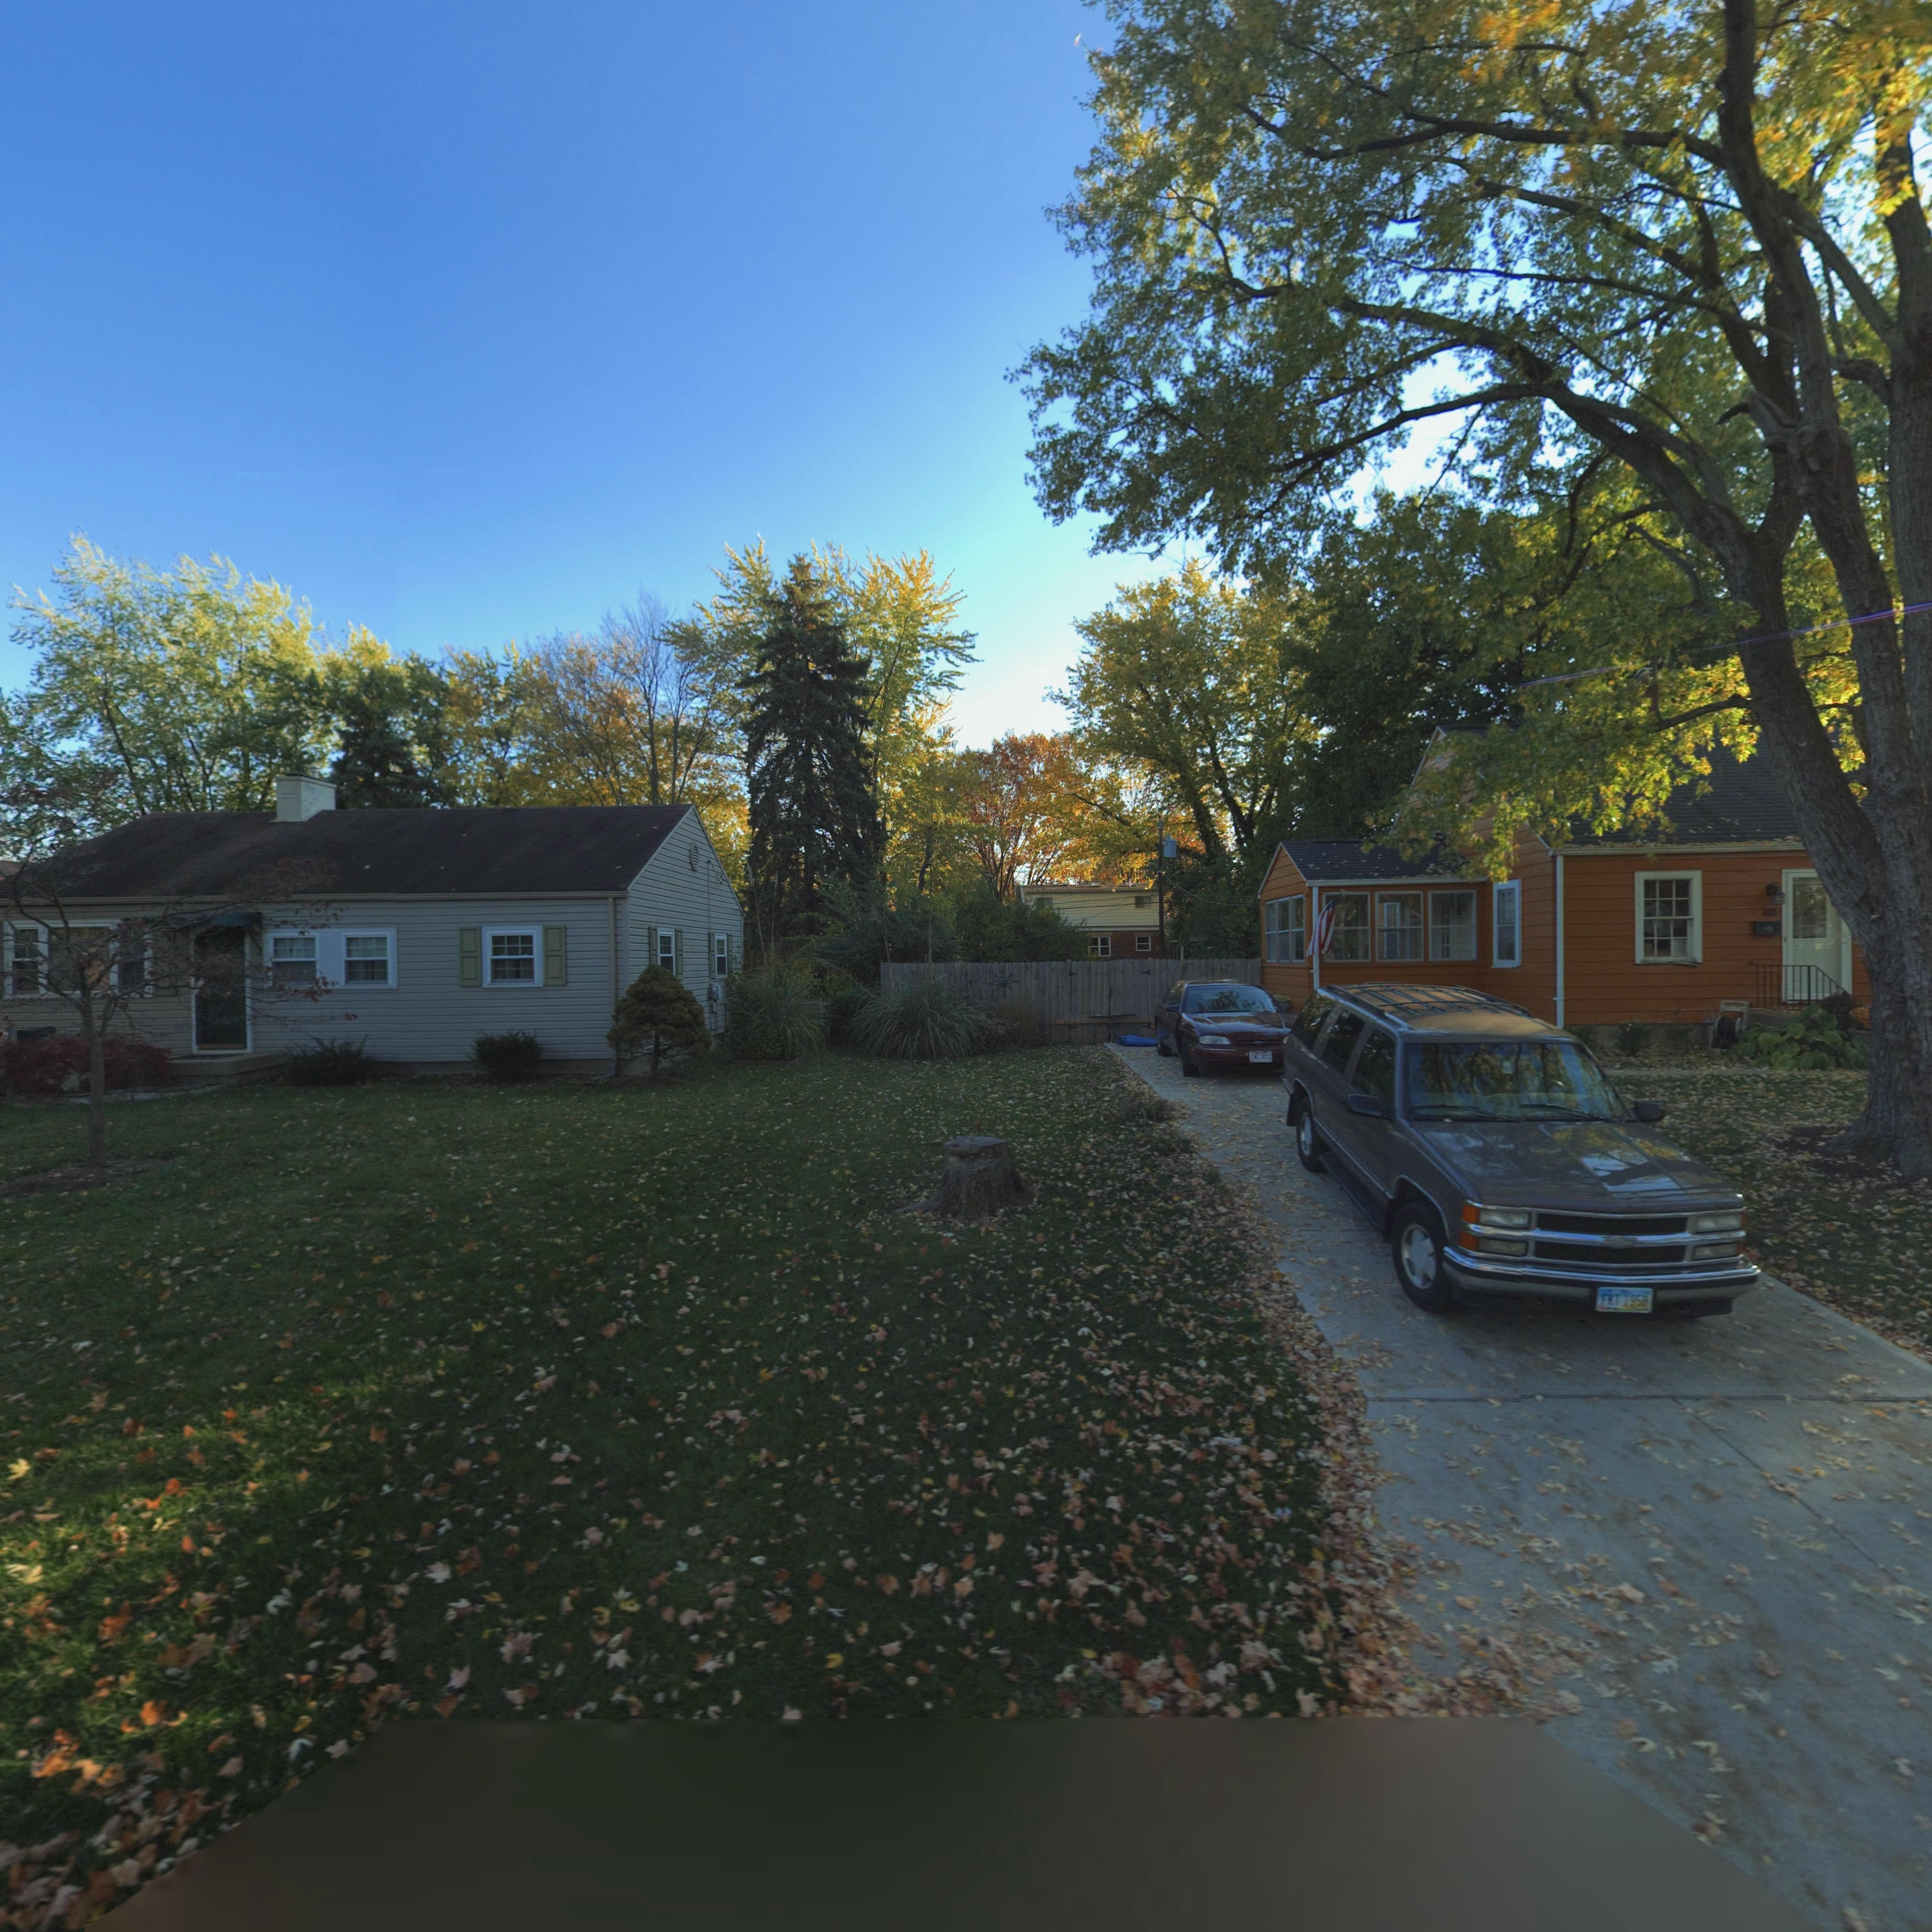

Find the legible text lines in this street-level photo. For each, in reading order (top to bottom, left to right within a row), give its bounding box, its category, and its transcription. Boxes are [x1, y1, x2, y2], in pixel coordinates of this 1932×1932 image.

[1762, 908, 1777, 917] StreetNumber: 400